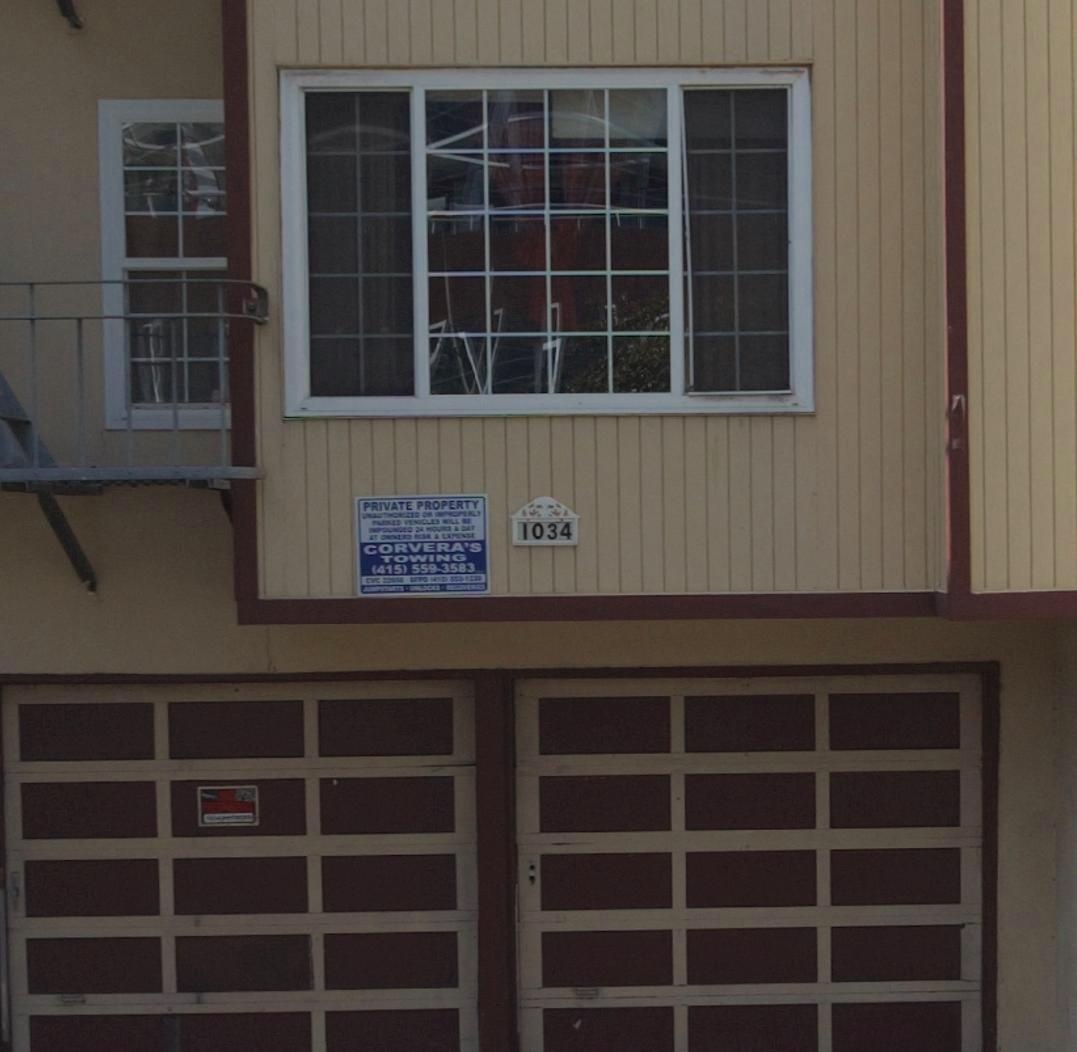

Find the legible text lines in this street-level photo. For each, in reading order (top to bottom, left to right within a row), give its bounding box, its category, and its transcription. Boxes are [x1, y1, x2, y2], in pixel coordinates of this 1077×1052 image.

[361, 497, 481, 513] None: PRIVATE PROPERTY
[520, 520, 573, 541] StreetNumber: 1034
[363, 541, 483, 556] None: CORVERA'S
[379, 552, 467, 564] None: TOWING
[372, 561, 477, 576] None: (415)559-3583
[217, 788, 237, 804] None: NO